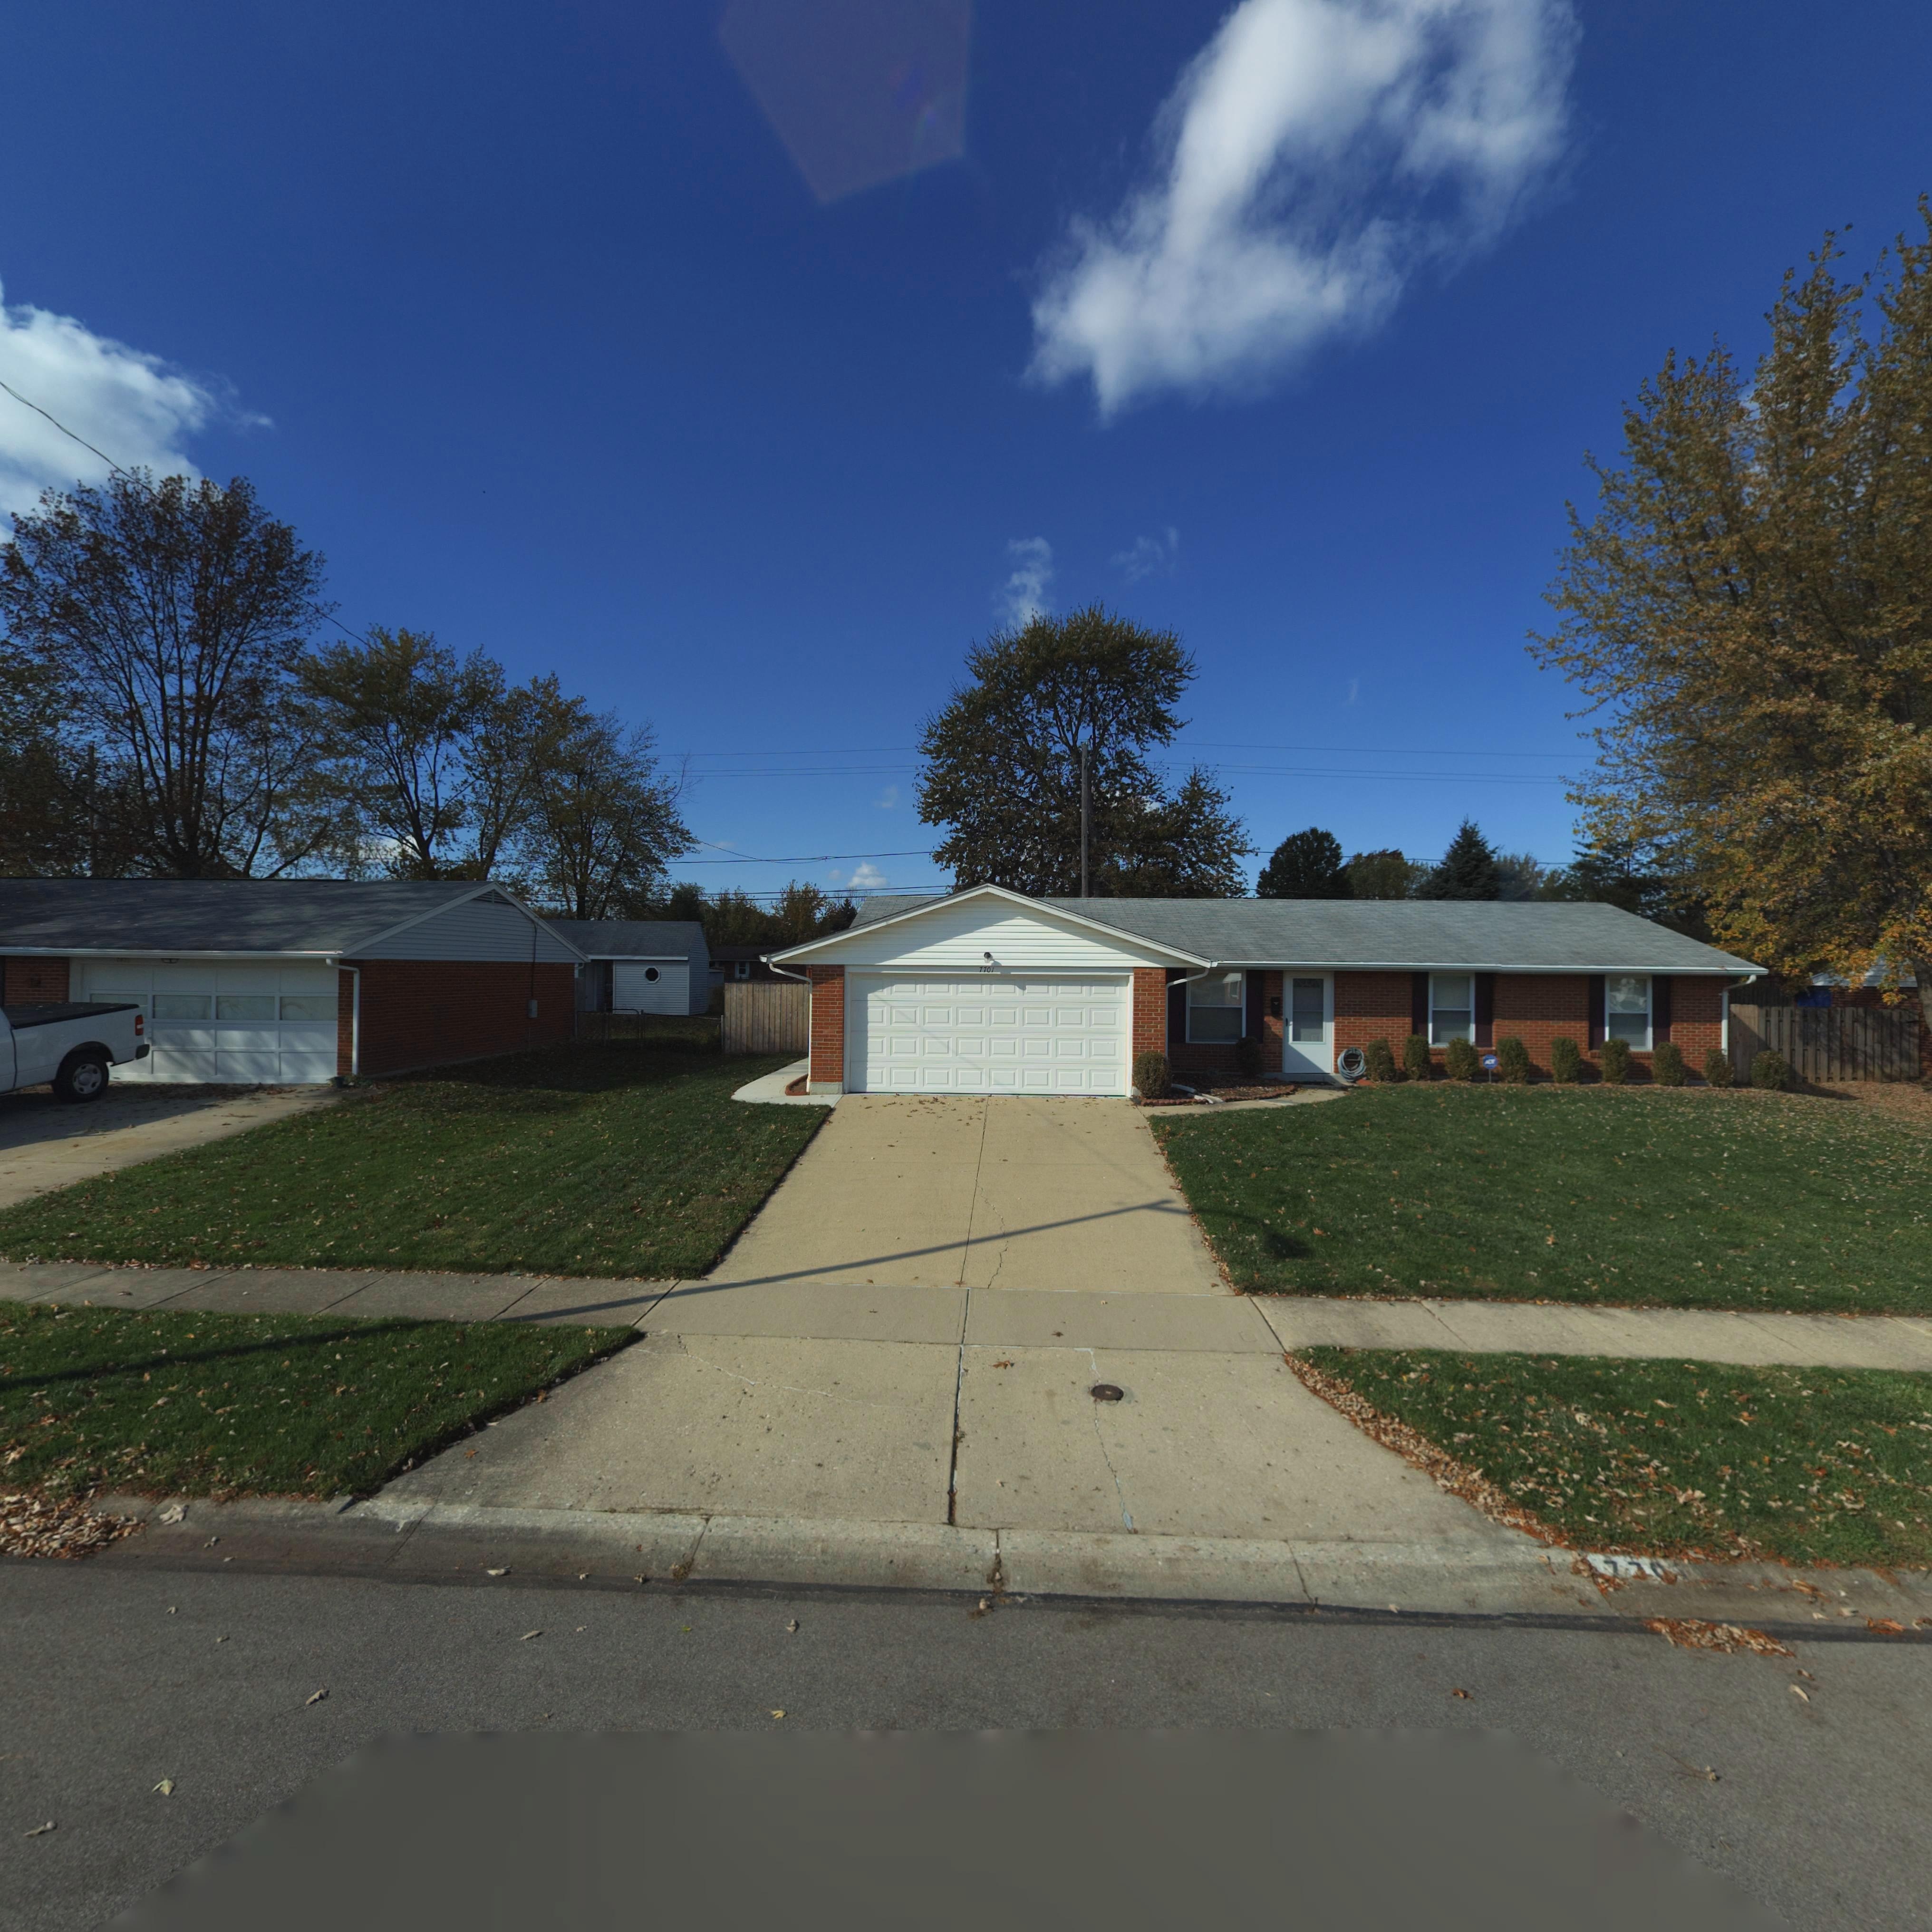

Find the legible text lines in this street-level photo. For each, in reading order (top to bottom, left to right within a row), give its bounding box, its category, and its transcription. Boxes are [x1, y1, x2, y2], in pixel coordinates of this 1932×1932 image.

[977, 965, 996, 974] StreetNumber: 7701
[1599, 1558, 1675, 1583] StreetNumber: 7**